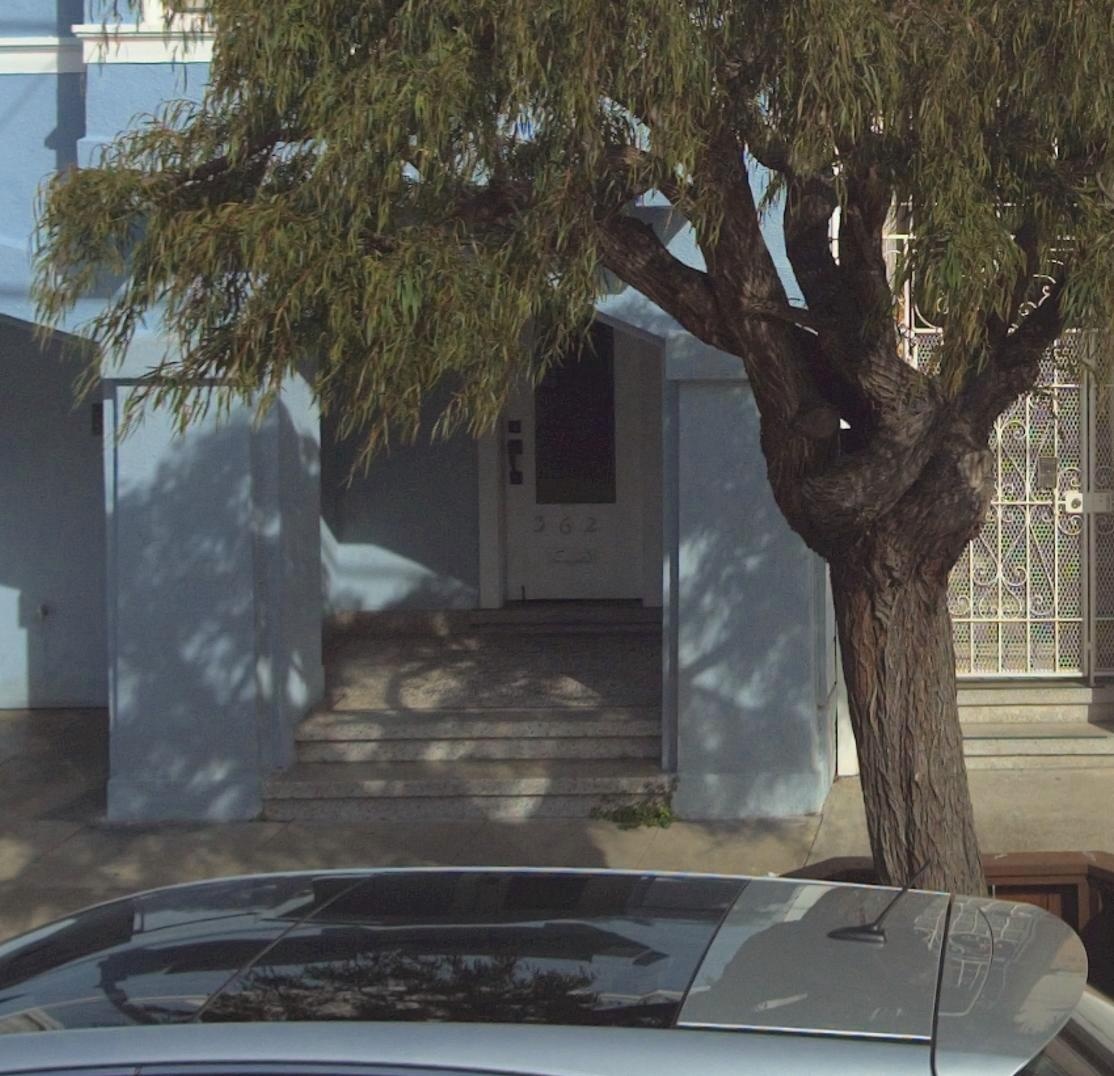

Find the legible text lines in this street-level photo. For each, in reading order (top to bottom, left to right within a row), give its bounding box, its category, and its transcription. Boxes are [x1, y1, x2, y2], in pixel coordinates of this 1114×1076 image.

[530, 513, 599, 536] StreetNumber: 362